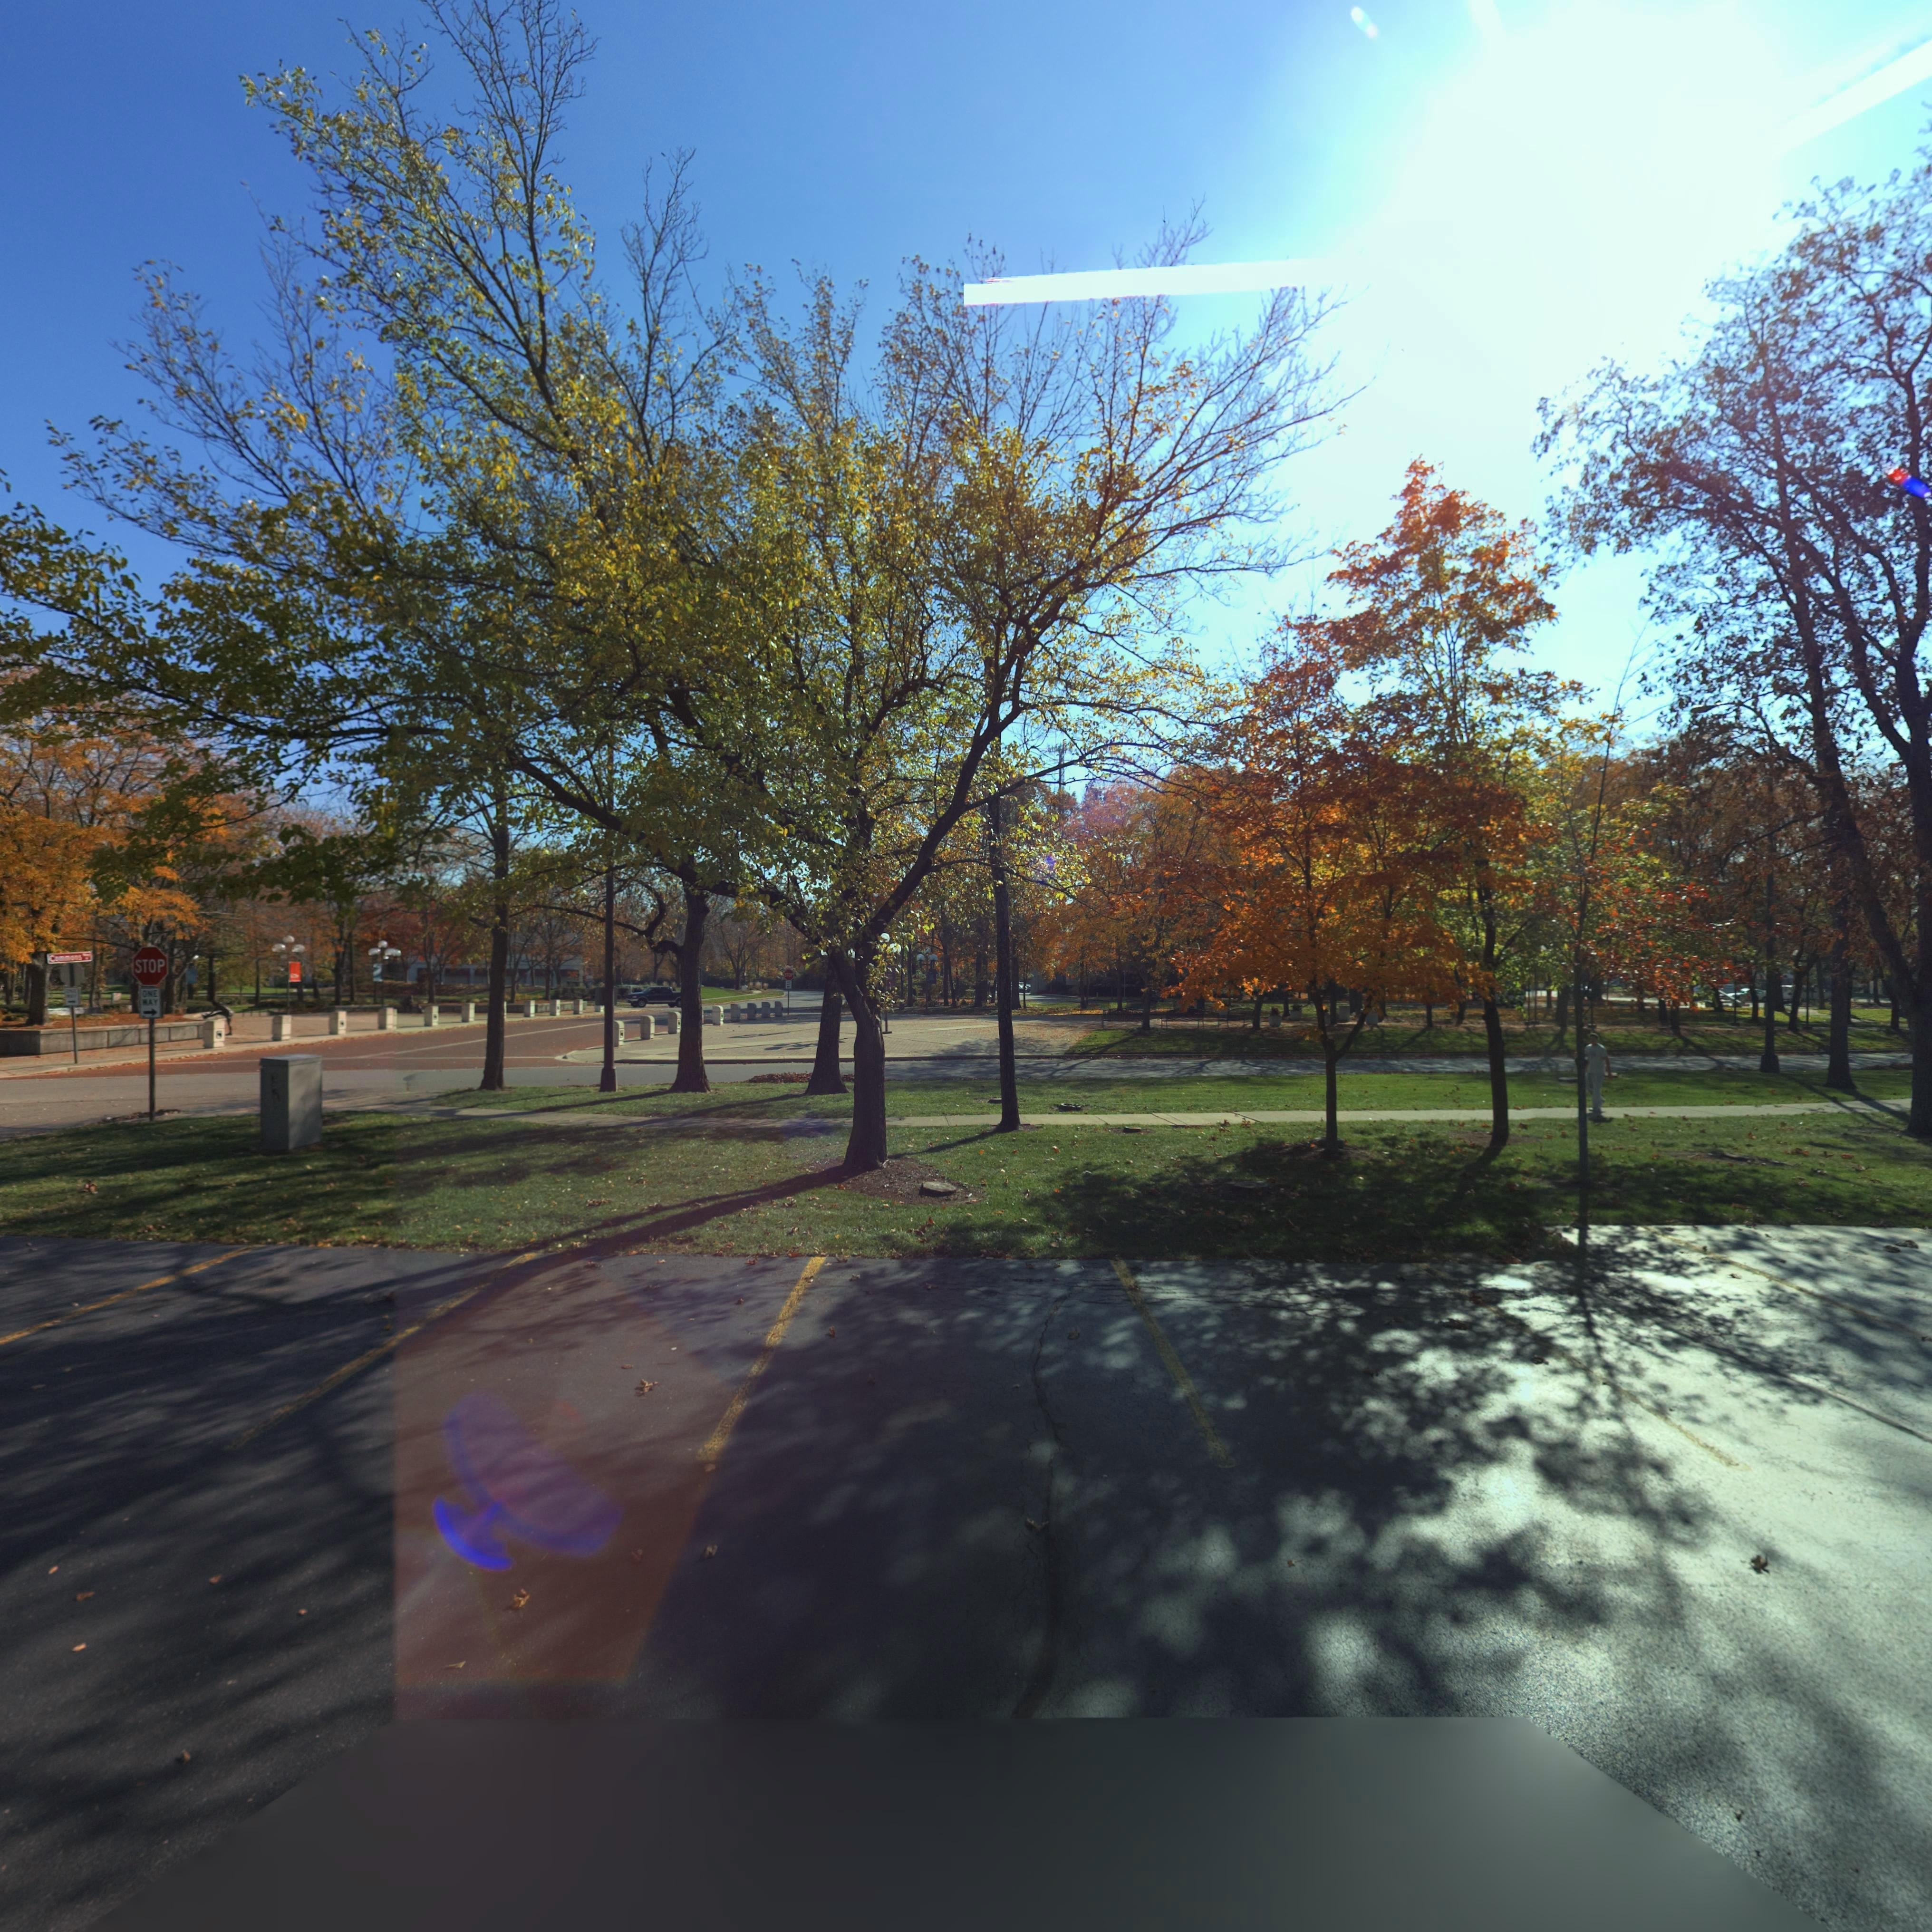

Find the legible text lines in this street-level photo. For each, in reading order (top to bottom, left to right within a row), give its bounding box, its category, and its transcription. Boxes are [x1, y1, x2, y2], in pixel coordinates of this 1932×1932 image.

[133, 957, 167, 975] None: STOP
[141, 988, 159, 998] None: ONE
[141, 997, 160, 1007] None: WAY